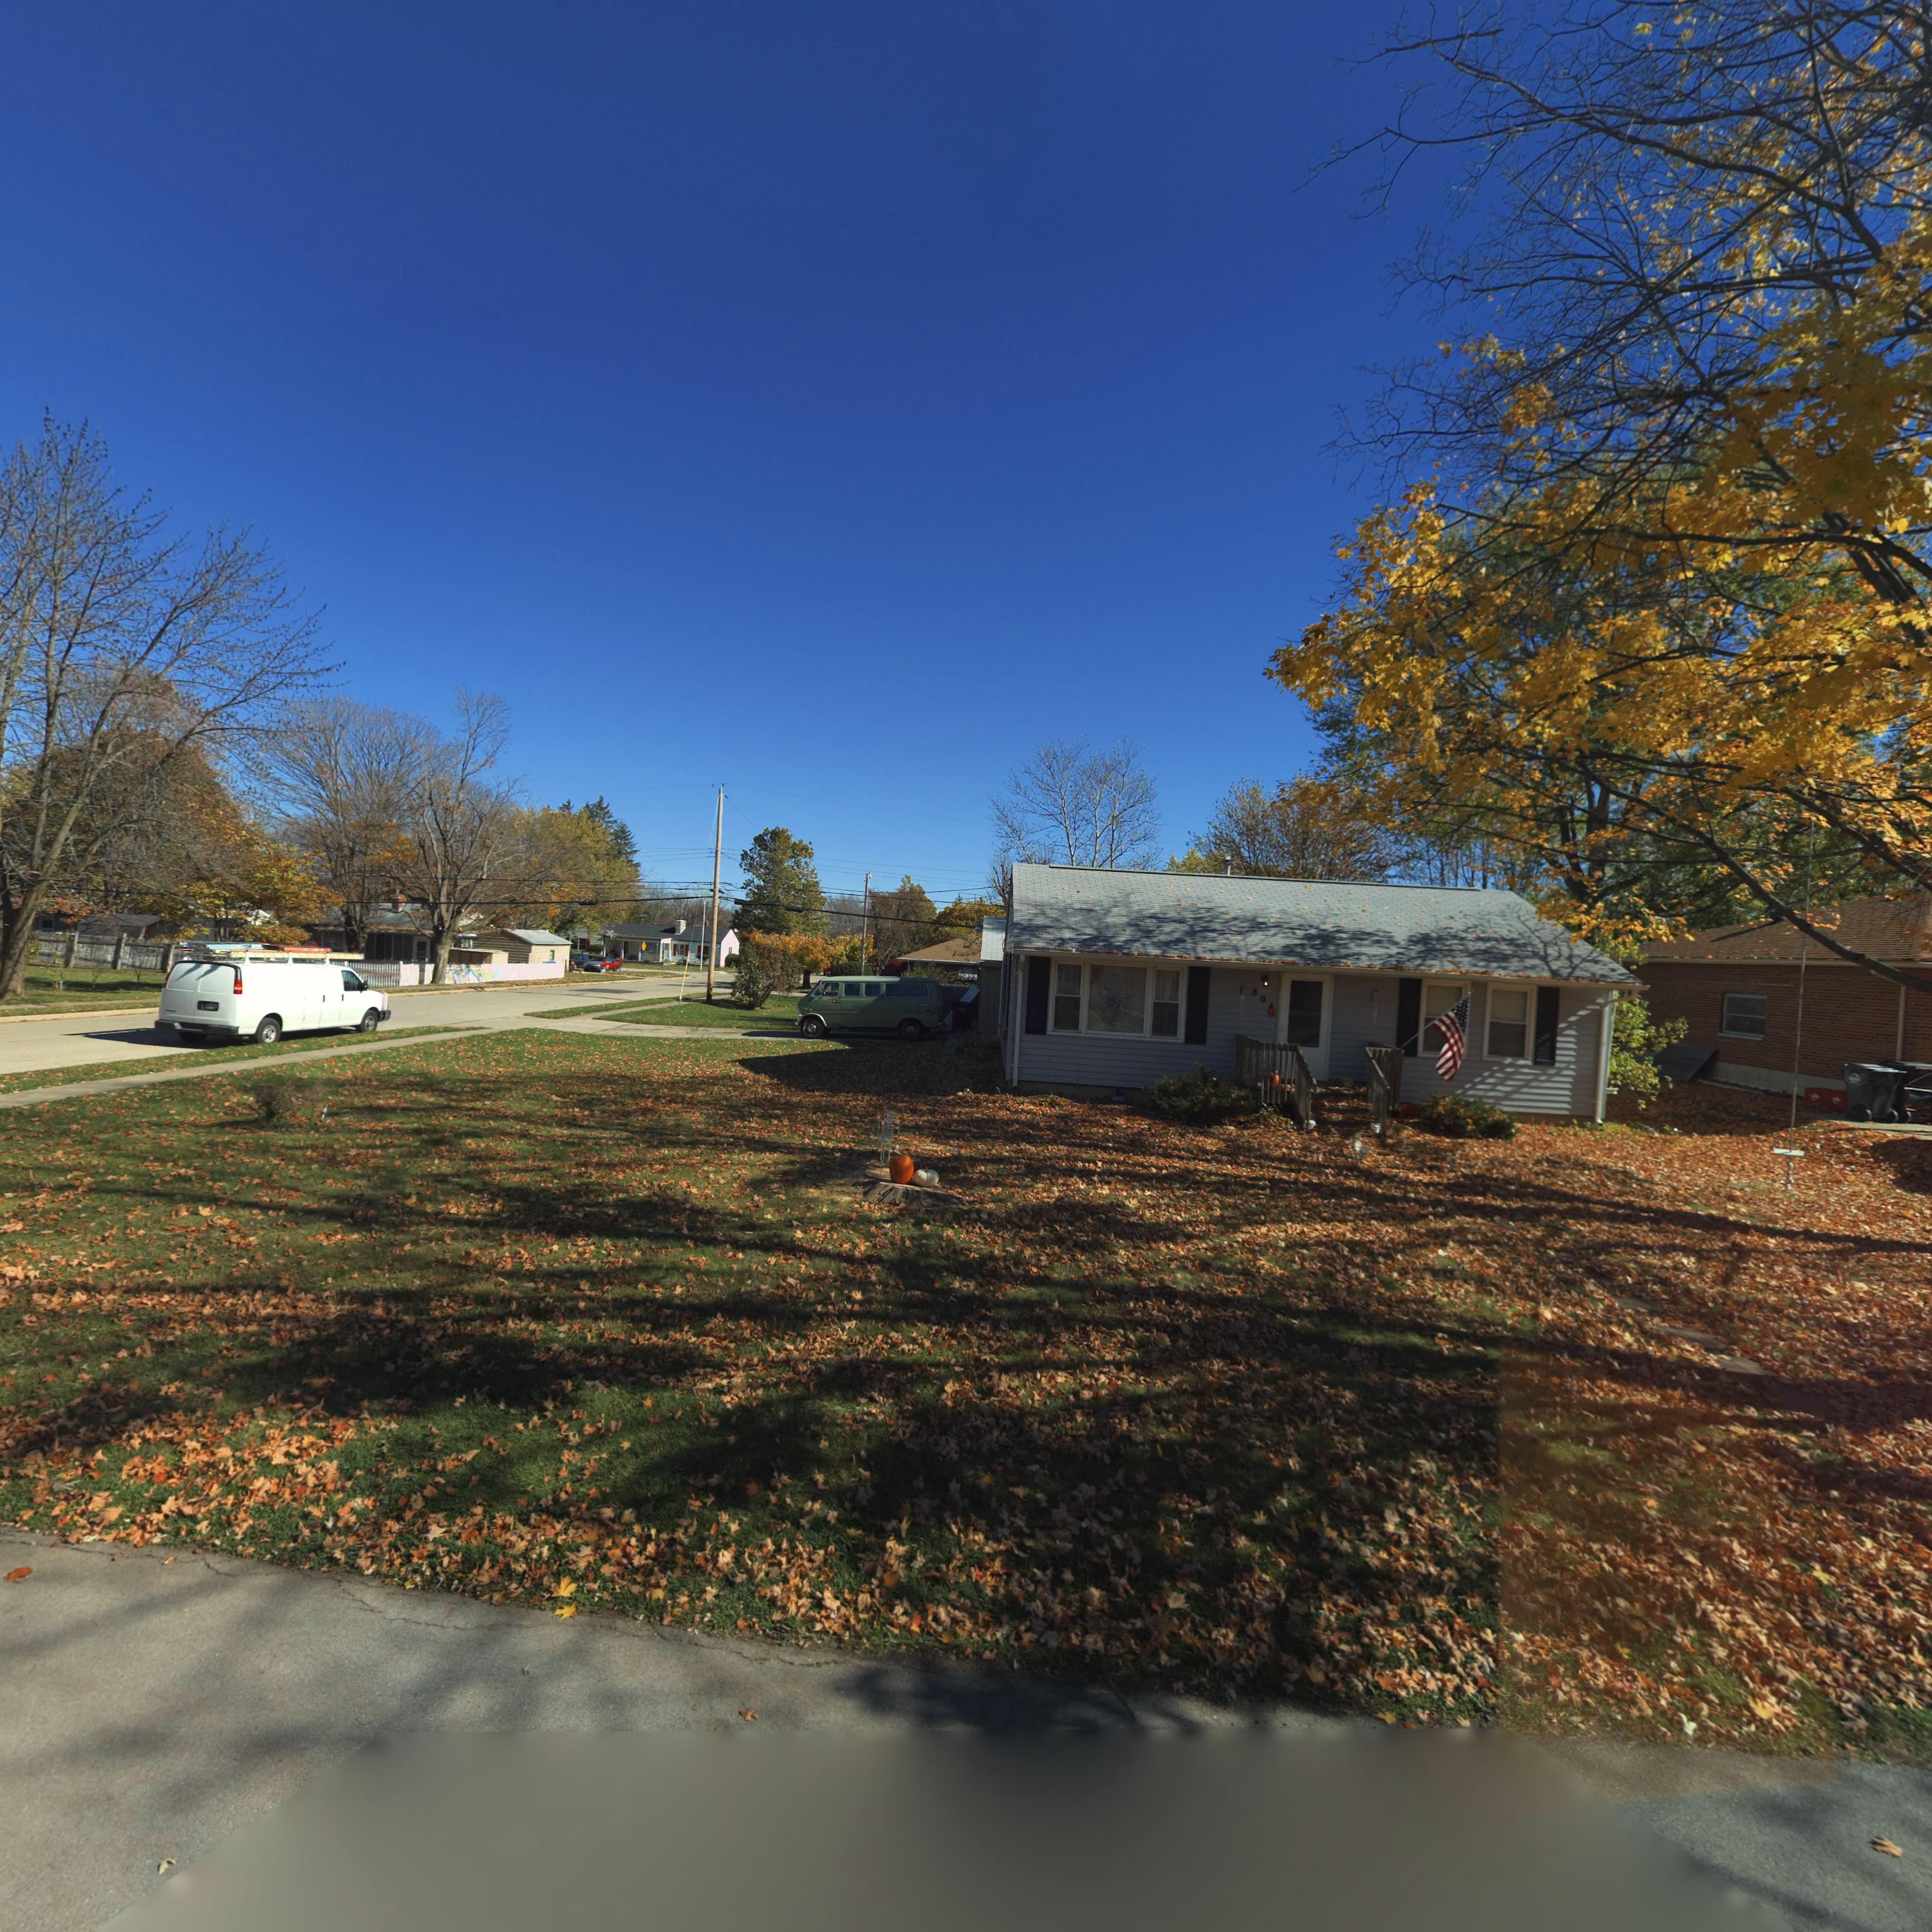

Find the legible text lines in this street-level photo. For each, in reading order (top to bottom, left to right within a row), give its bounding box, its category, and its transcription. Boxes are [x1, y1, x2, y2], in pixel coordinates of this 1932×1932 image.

[1252, 988, 1274, 1010] StreetNumber: 804